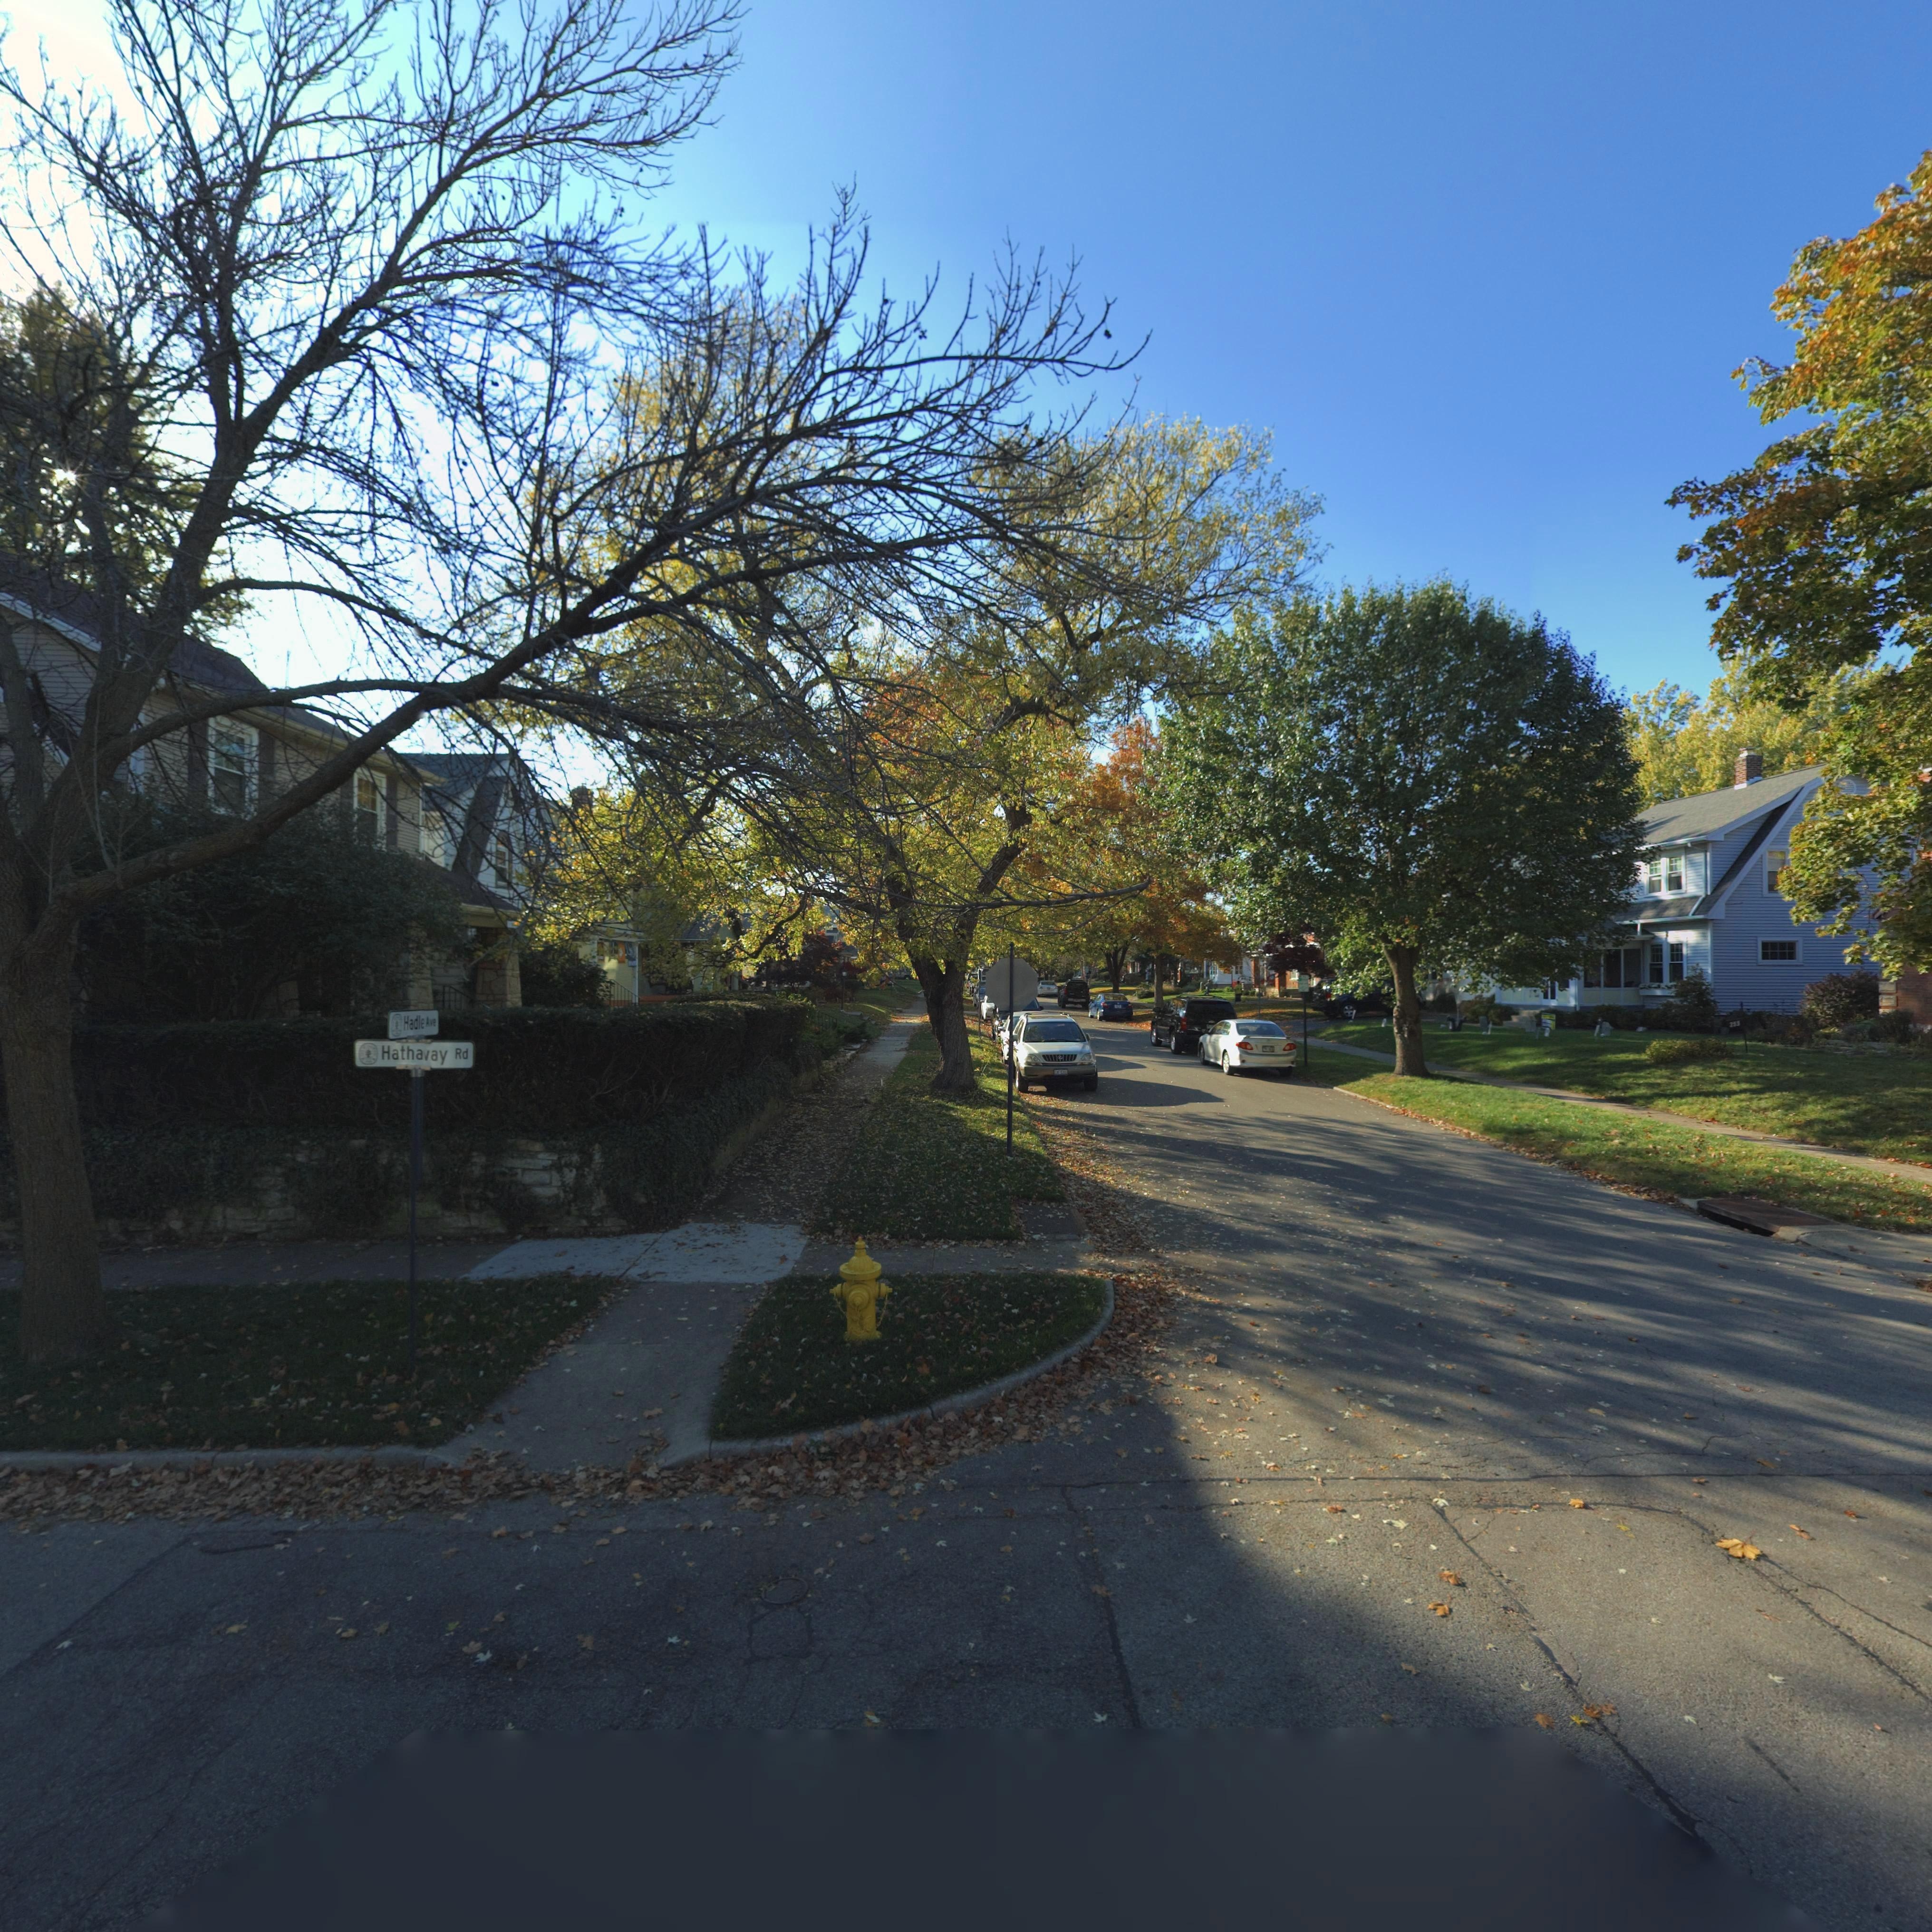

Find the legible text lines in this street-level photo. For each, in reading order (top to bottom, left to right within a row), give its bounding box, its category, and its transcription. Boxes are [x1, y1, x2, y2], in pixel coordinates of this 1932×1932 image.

[402, 1014, 437, 1031] StreetName: Hadle Ave
[1729, 1019, 1741, 1029] StreetNumber: 25*
[381, 1044, 469, 1066] StreetName: Hatha*ay Rd